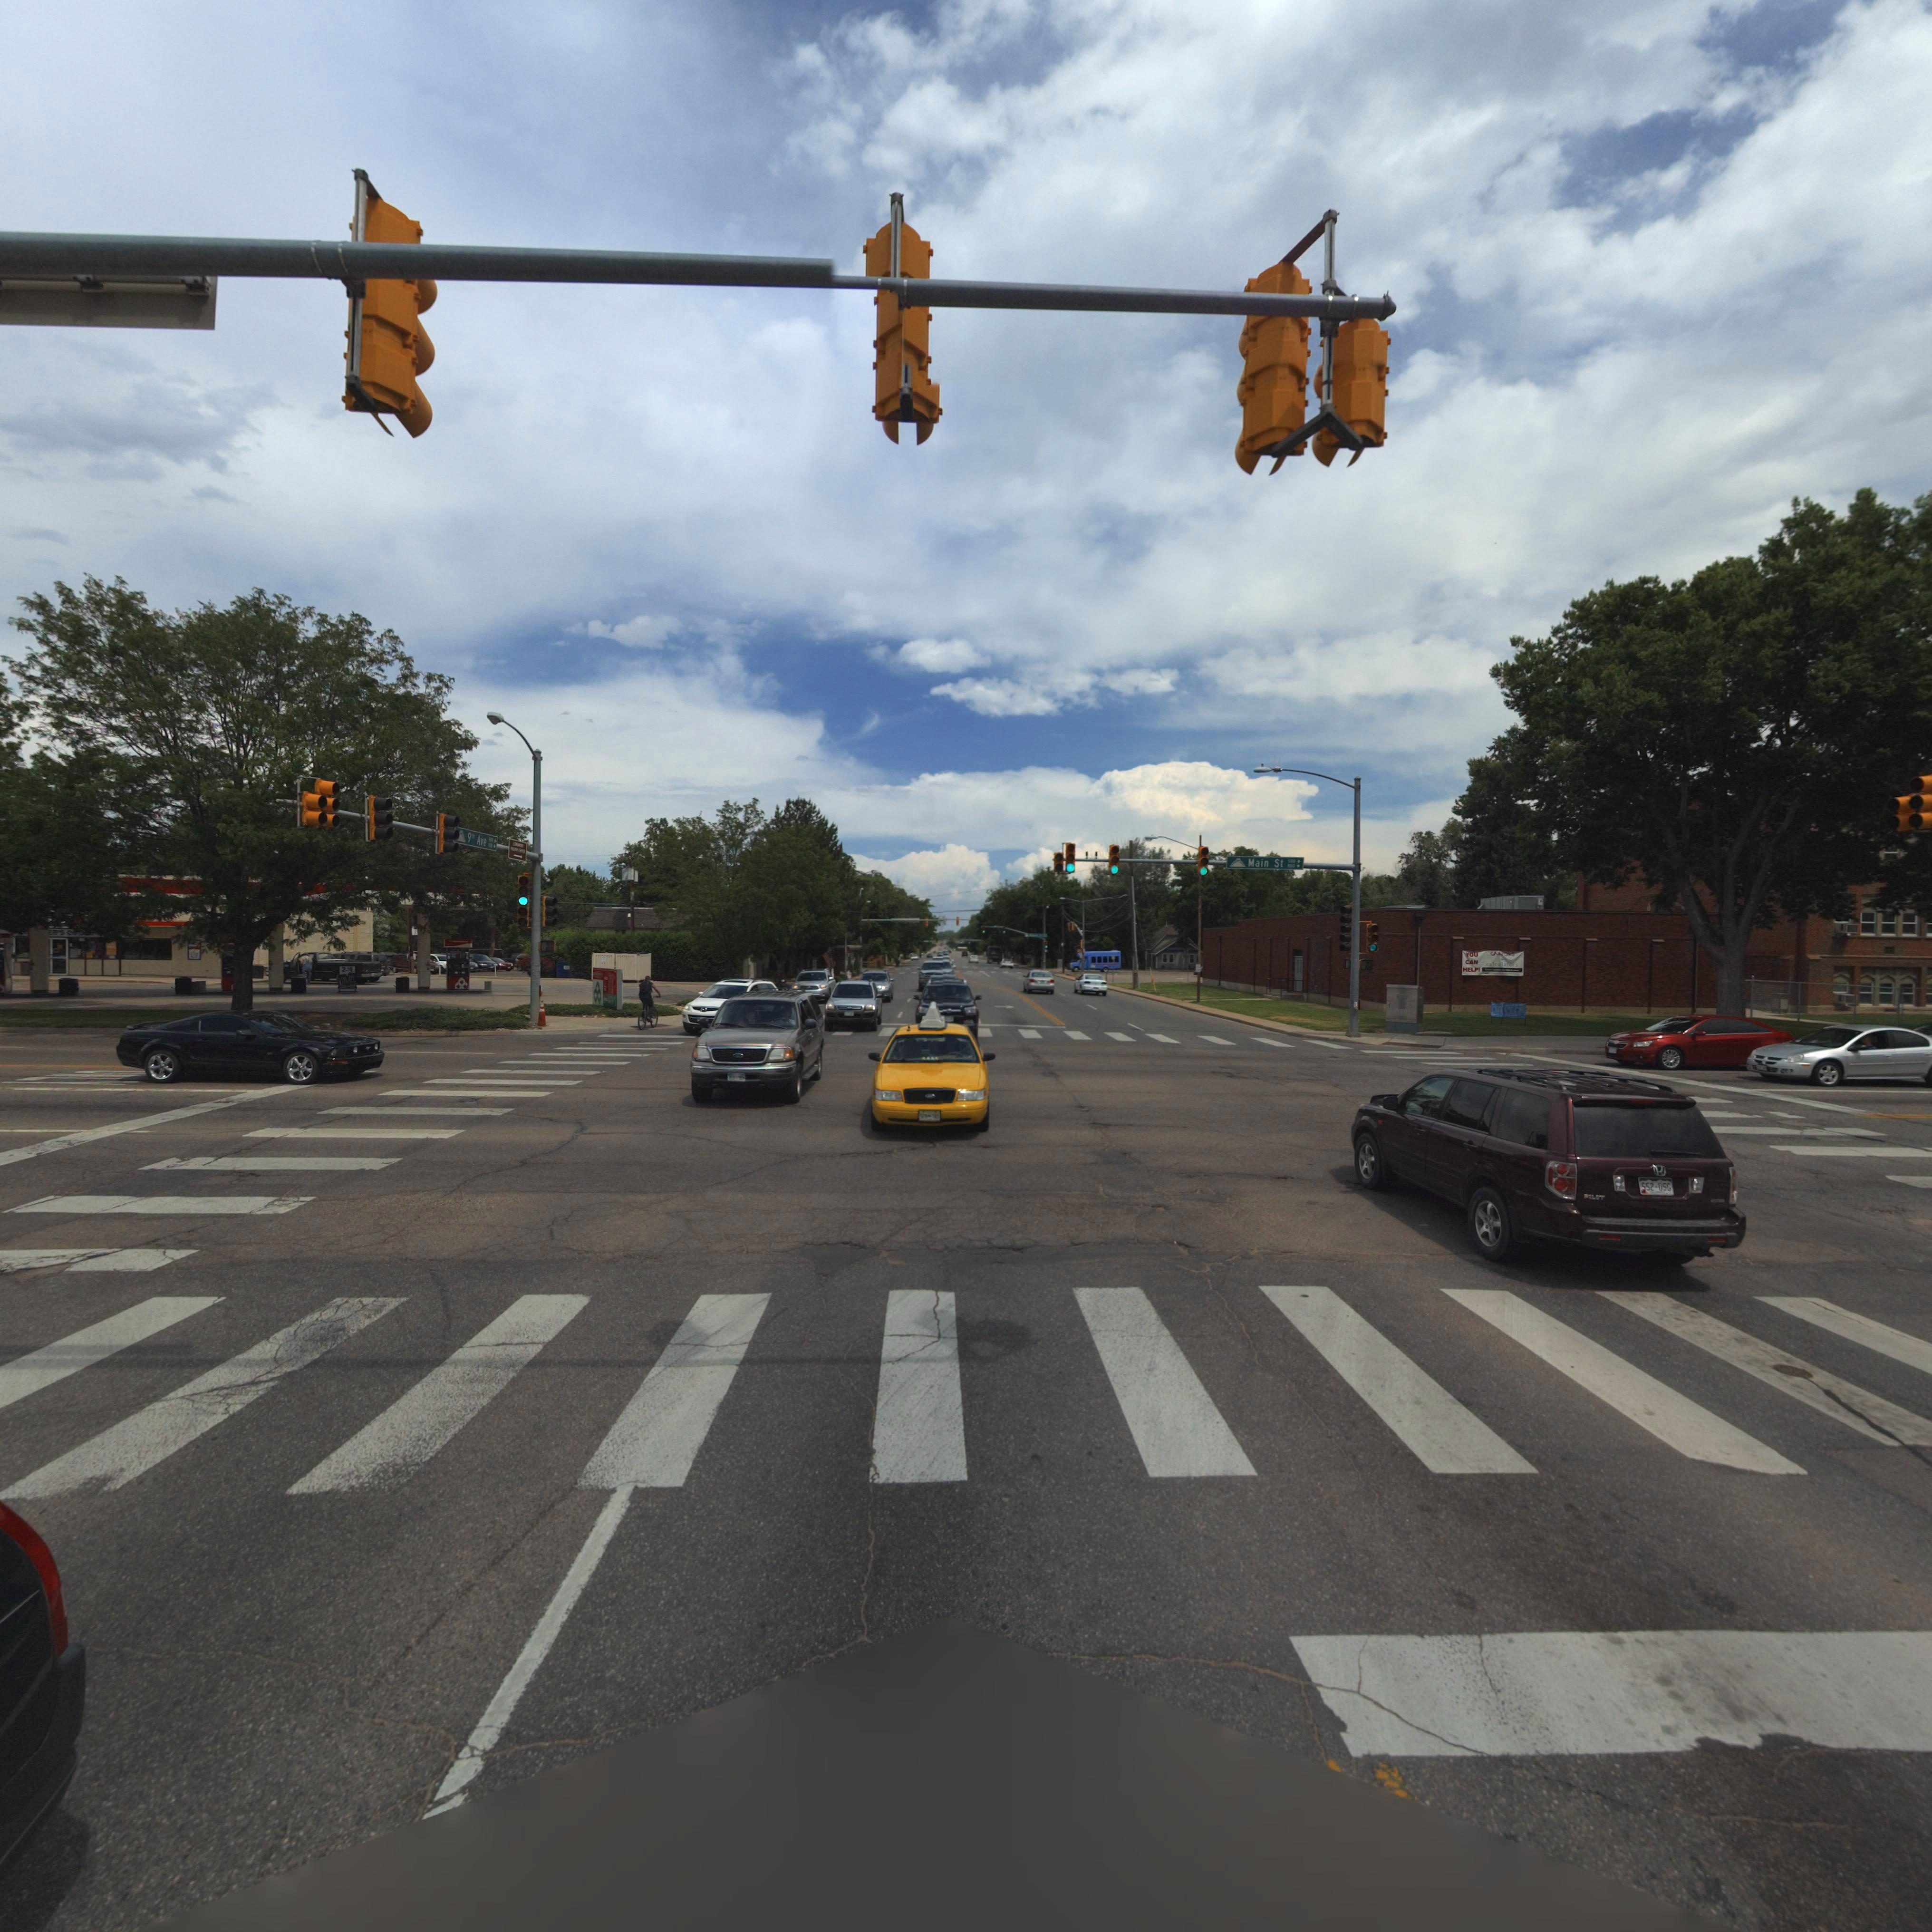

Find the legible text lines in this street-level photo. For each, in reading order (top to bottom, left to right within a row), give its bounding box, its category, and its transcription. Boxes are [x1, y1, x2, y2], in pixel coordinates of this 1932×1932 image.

[467, 832, 486, 846] StreetName: 9th Ave
[1248, 858, 1284, 867] StreetName: Main St
[1287, 863, 1301, 868] StreetNumberRange: 800->